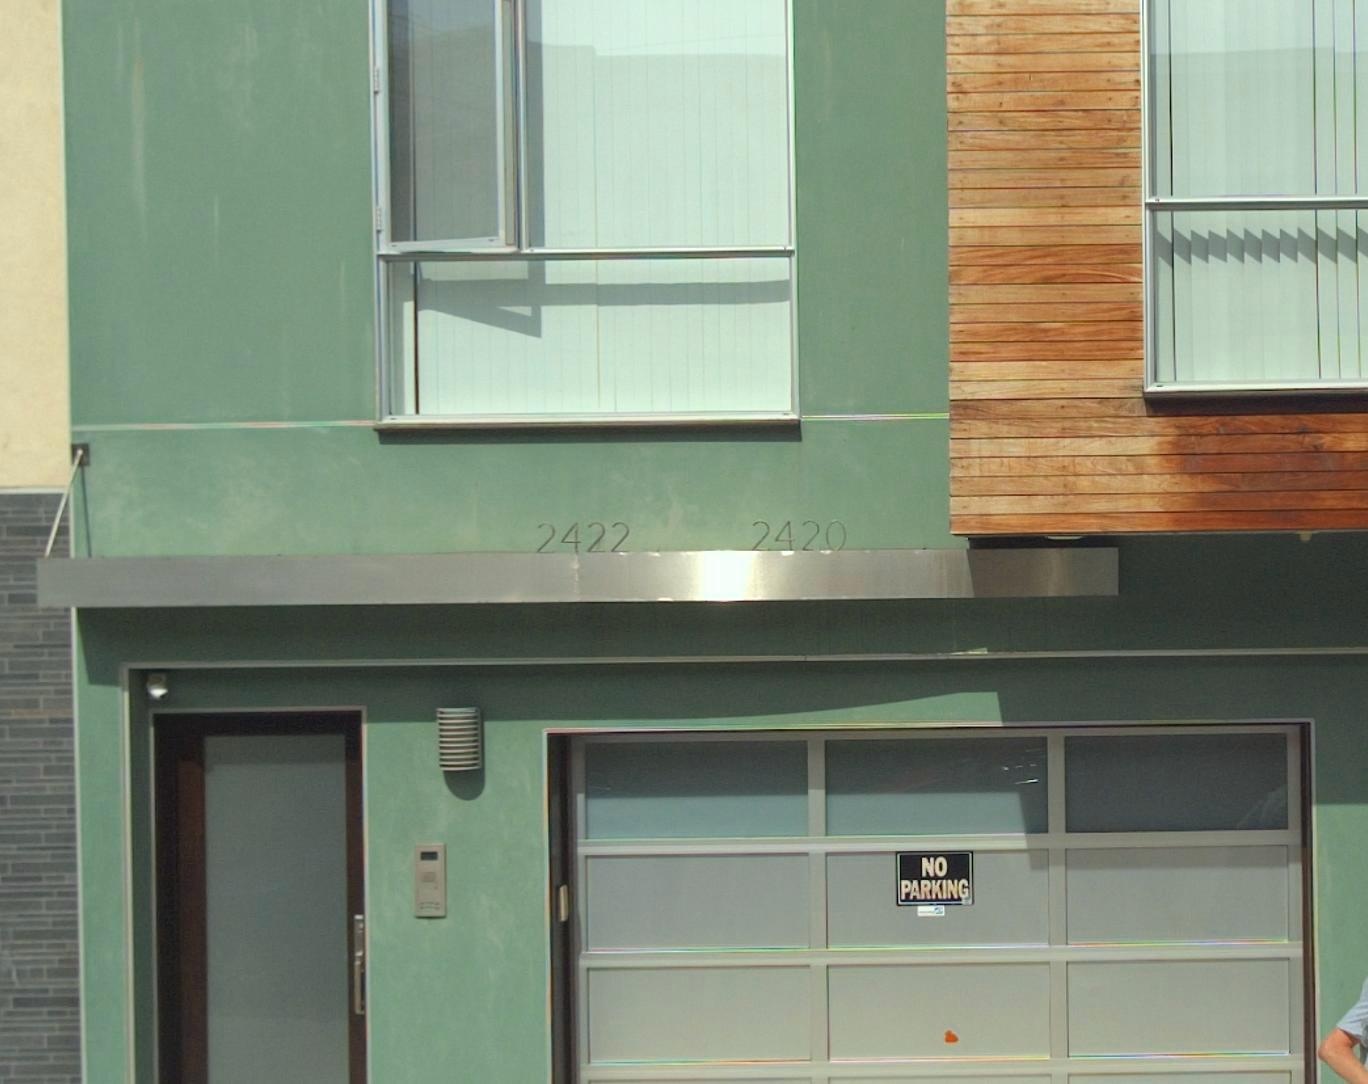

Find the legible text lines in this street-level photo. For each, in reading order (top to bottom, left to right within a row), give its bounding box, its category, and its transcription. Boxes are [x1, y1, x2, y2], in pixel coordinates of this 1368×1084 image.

[533, 518, 632, 557] StreetNumber: 2422
[749, 517, 849, 554] StreetNumber: 2420
[920, 854, 950, 879] None: NO
[899, 877, 971, 903] None: PARKING